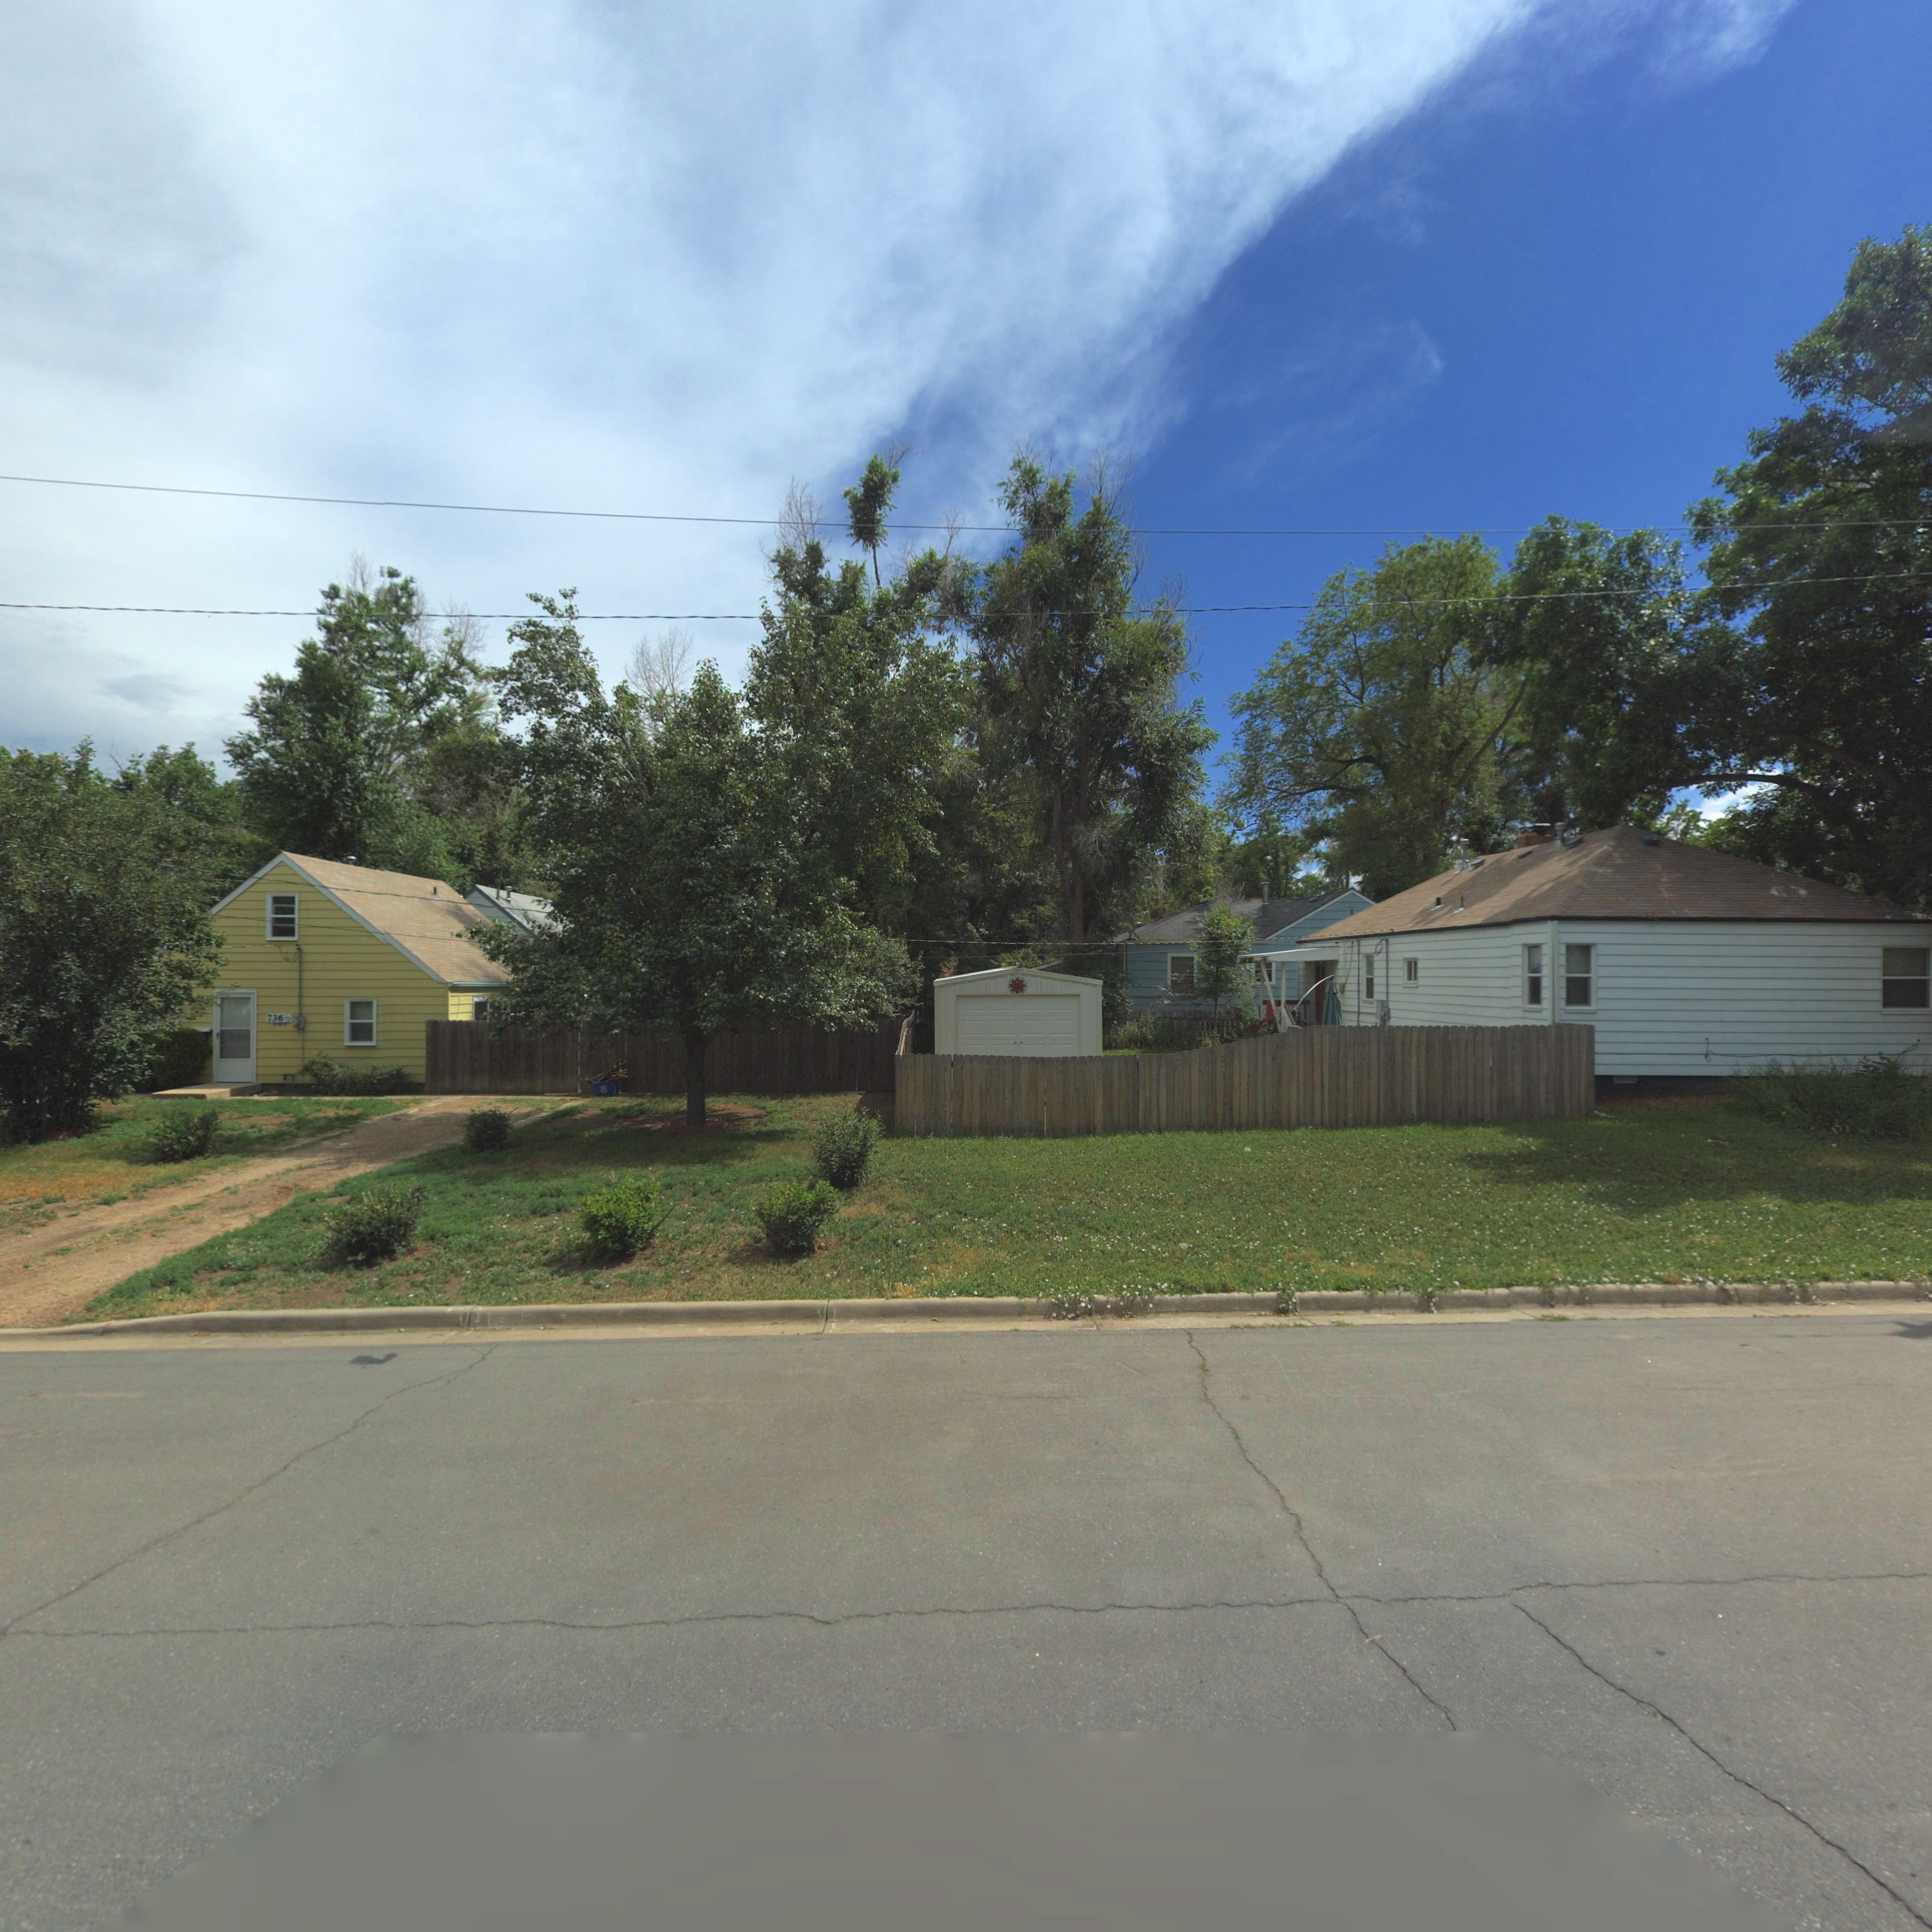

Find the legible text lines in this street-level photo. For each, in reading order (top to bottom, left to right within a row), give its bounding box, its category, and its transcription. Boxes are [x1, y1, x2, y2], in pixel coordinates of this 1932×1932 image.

[266, 1013, 291, 1023] StreetNumber: 736 1/2